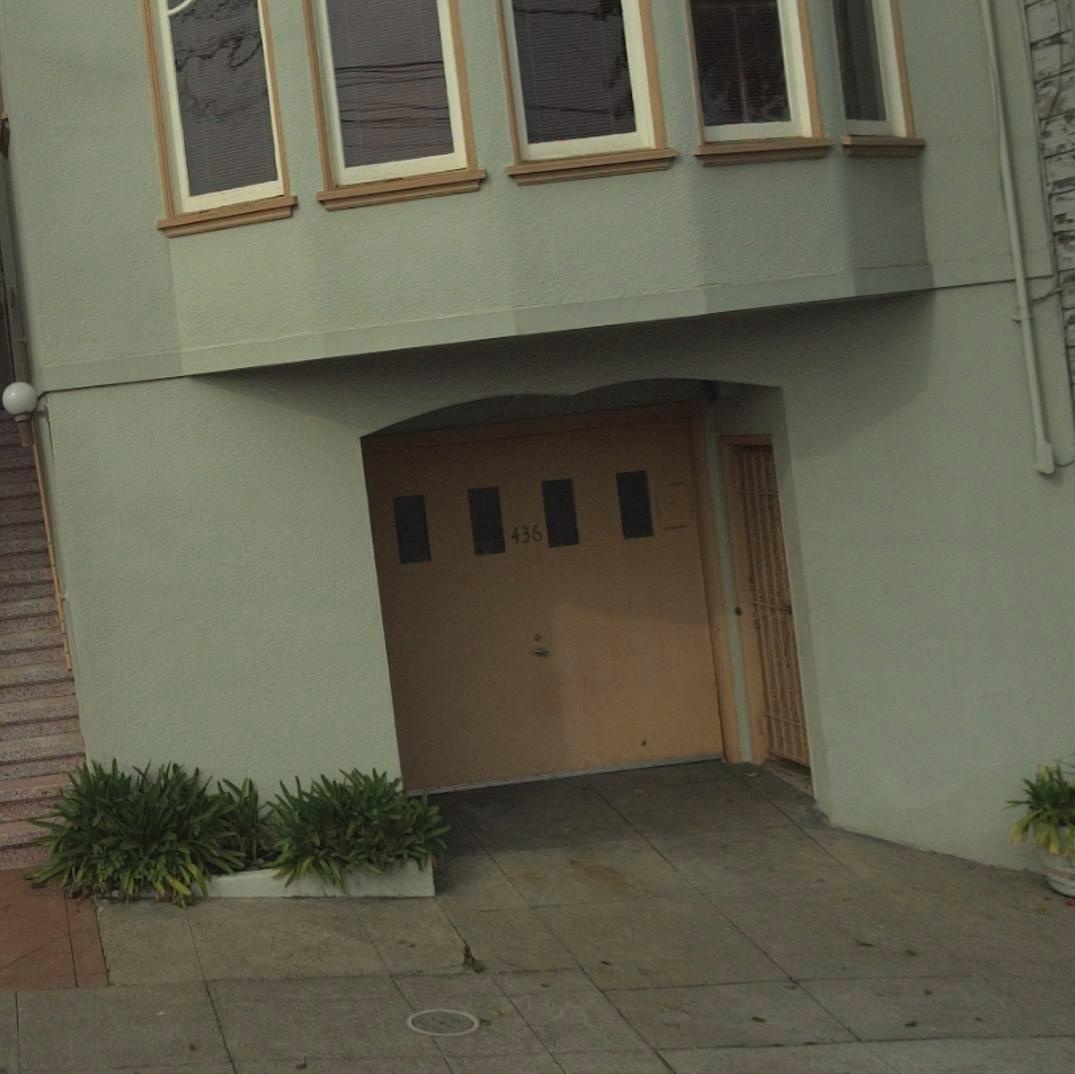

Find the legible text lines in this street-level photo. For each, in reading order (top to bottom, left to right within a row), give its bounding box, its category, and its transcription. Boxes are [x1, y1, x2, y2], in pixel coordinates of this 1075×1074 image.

[509, 522, 545, 546] StreetNumber: 436